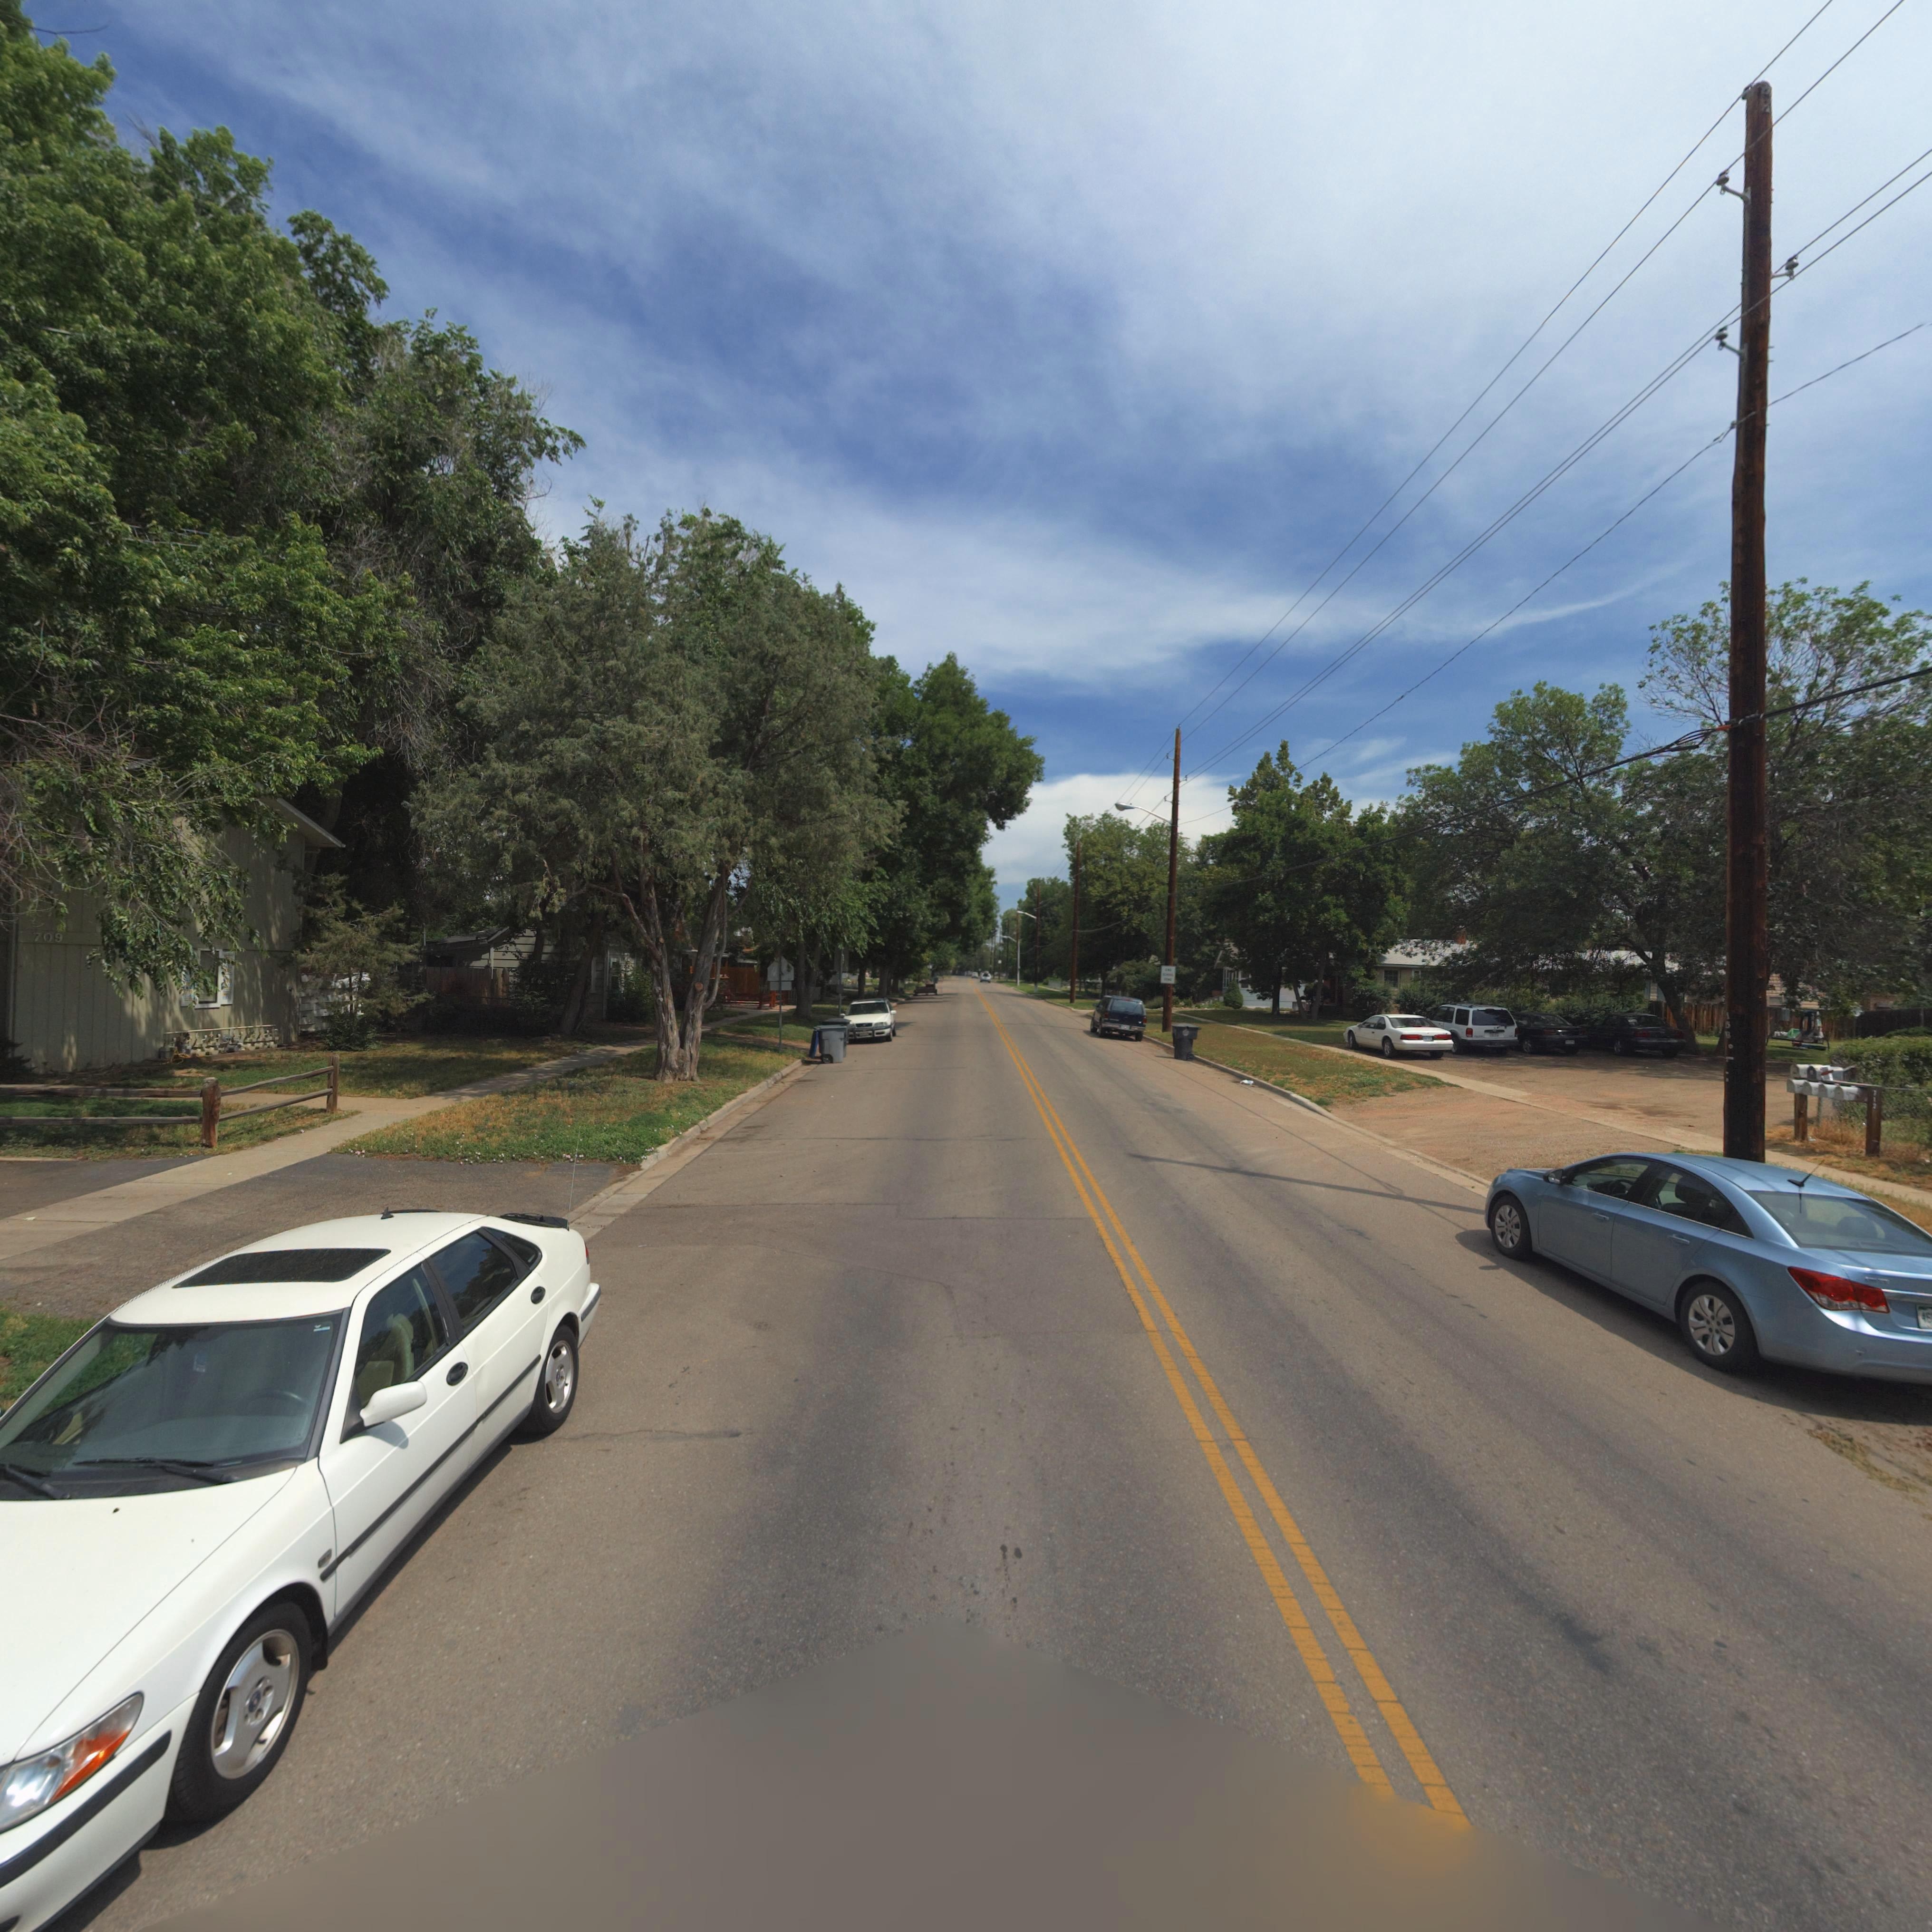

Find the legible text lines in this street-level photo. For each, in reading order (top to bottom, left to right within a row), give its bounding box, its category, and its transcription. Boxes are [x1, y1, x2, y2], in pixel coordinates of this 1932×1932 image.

[33, 931, 63, 943] StreetNumber: 709
[1873, 1090, 1877, 1109] StreetNumber: *1*